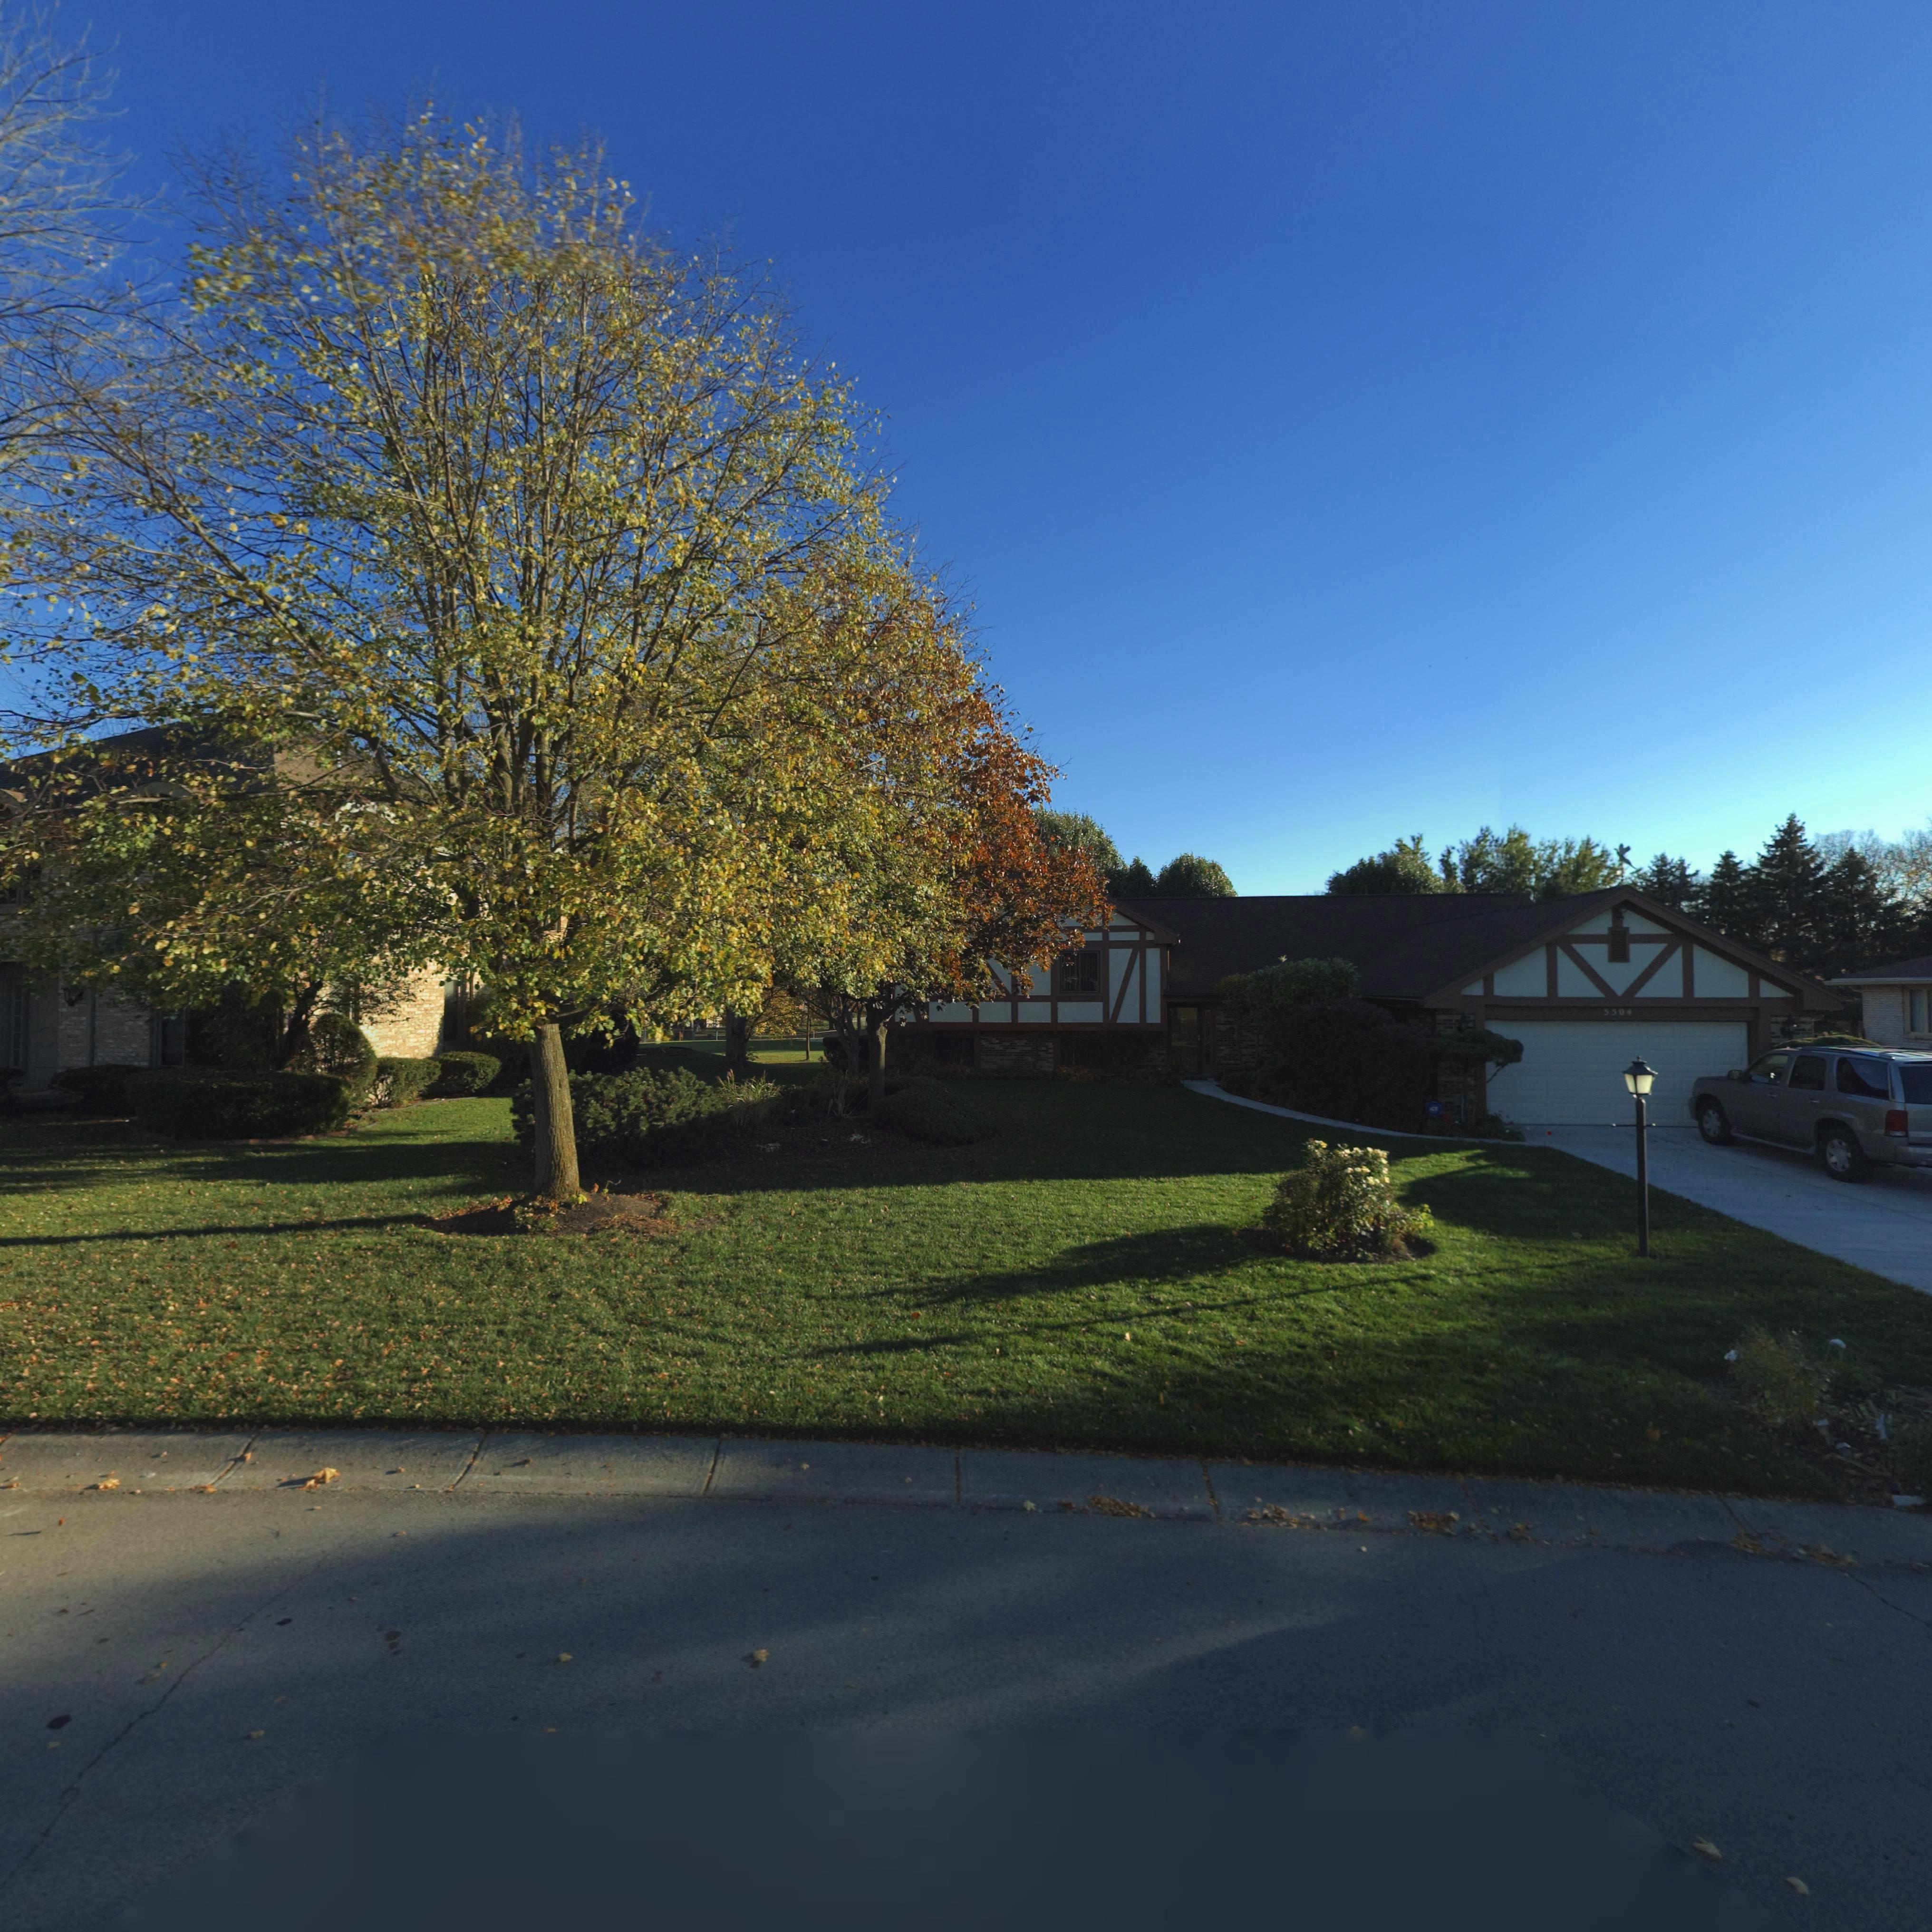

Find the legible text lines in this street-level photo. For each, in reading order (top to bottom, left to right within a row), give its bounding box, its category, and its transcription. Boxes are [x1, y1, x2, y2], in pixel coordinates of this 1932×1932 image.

[1603, 1007, 1633, 1017] StreetNumber: 550*